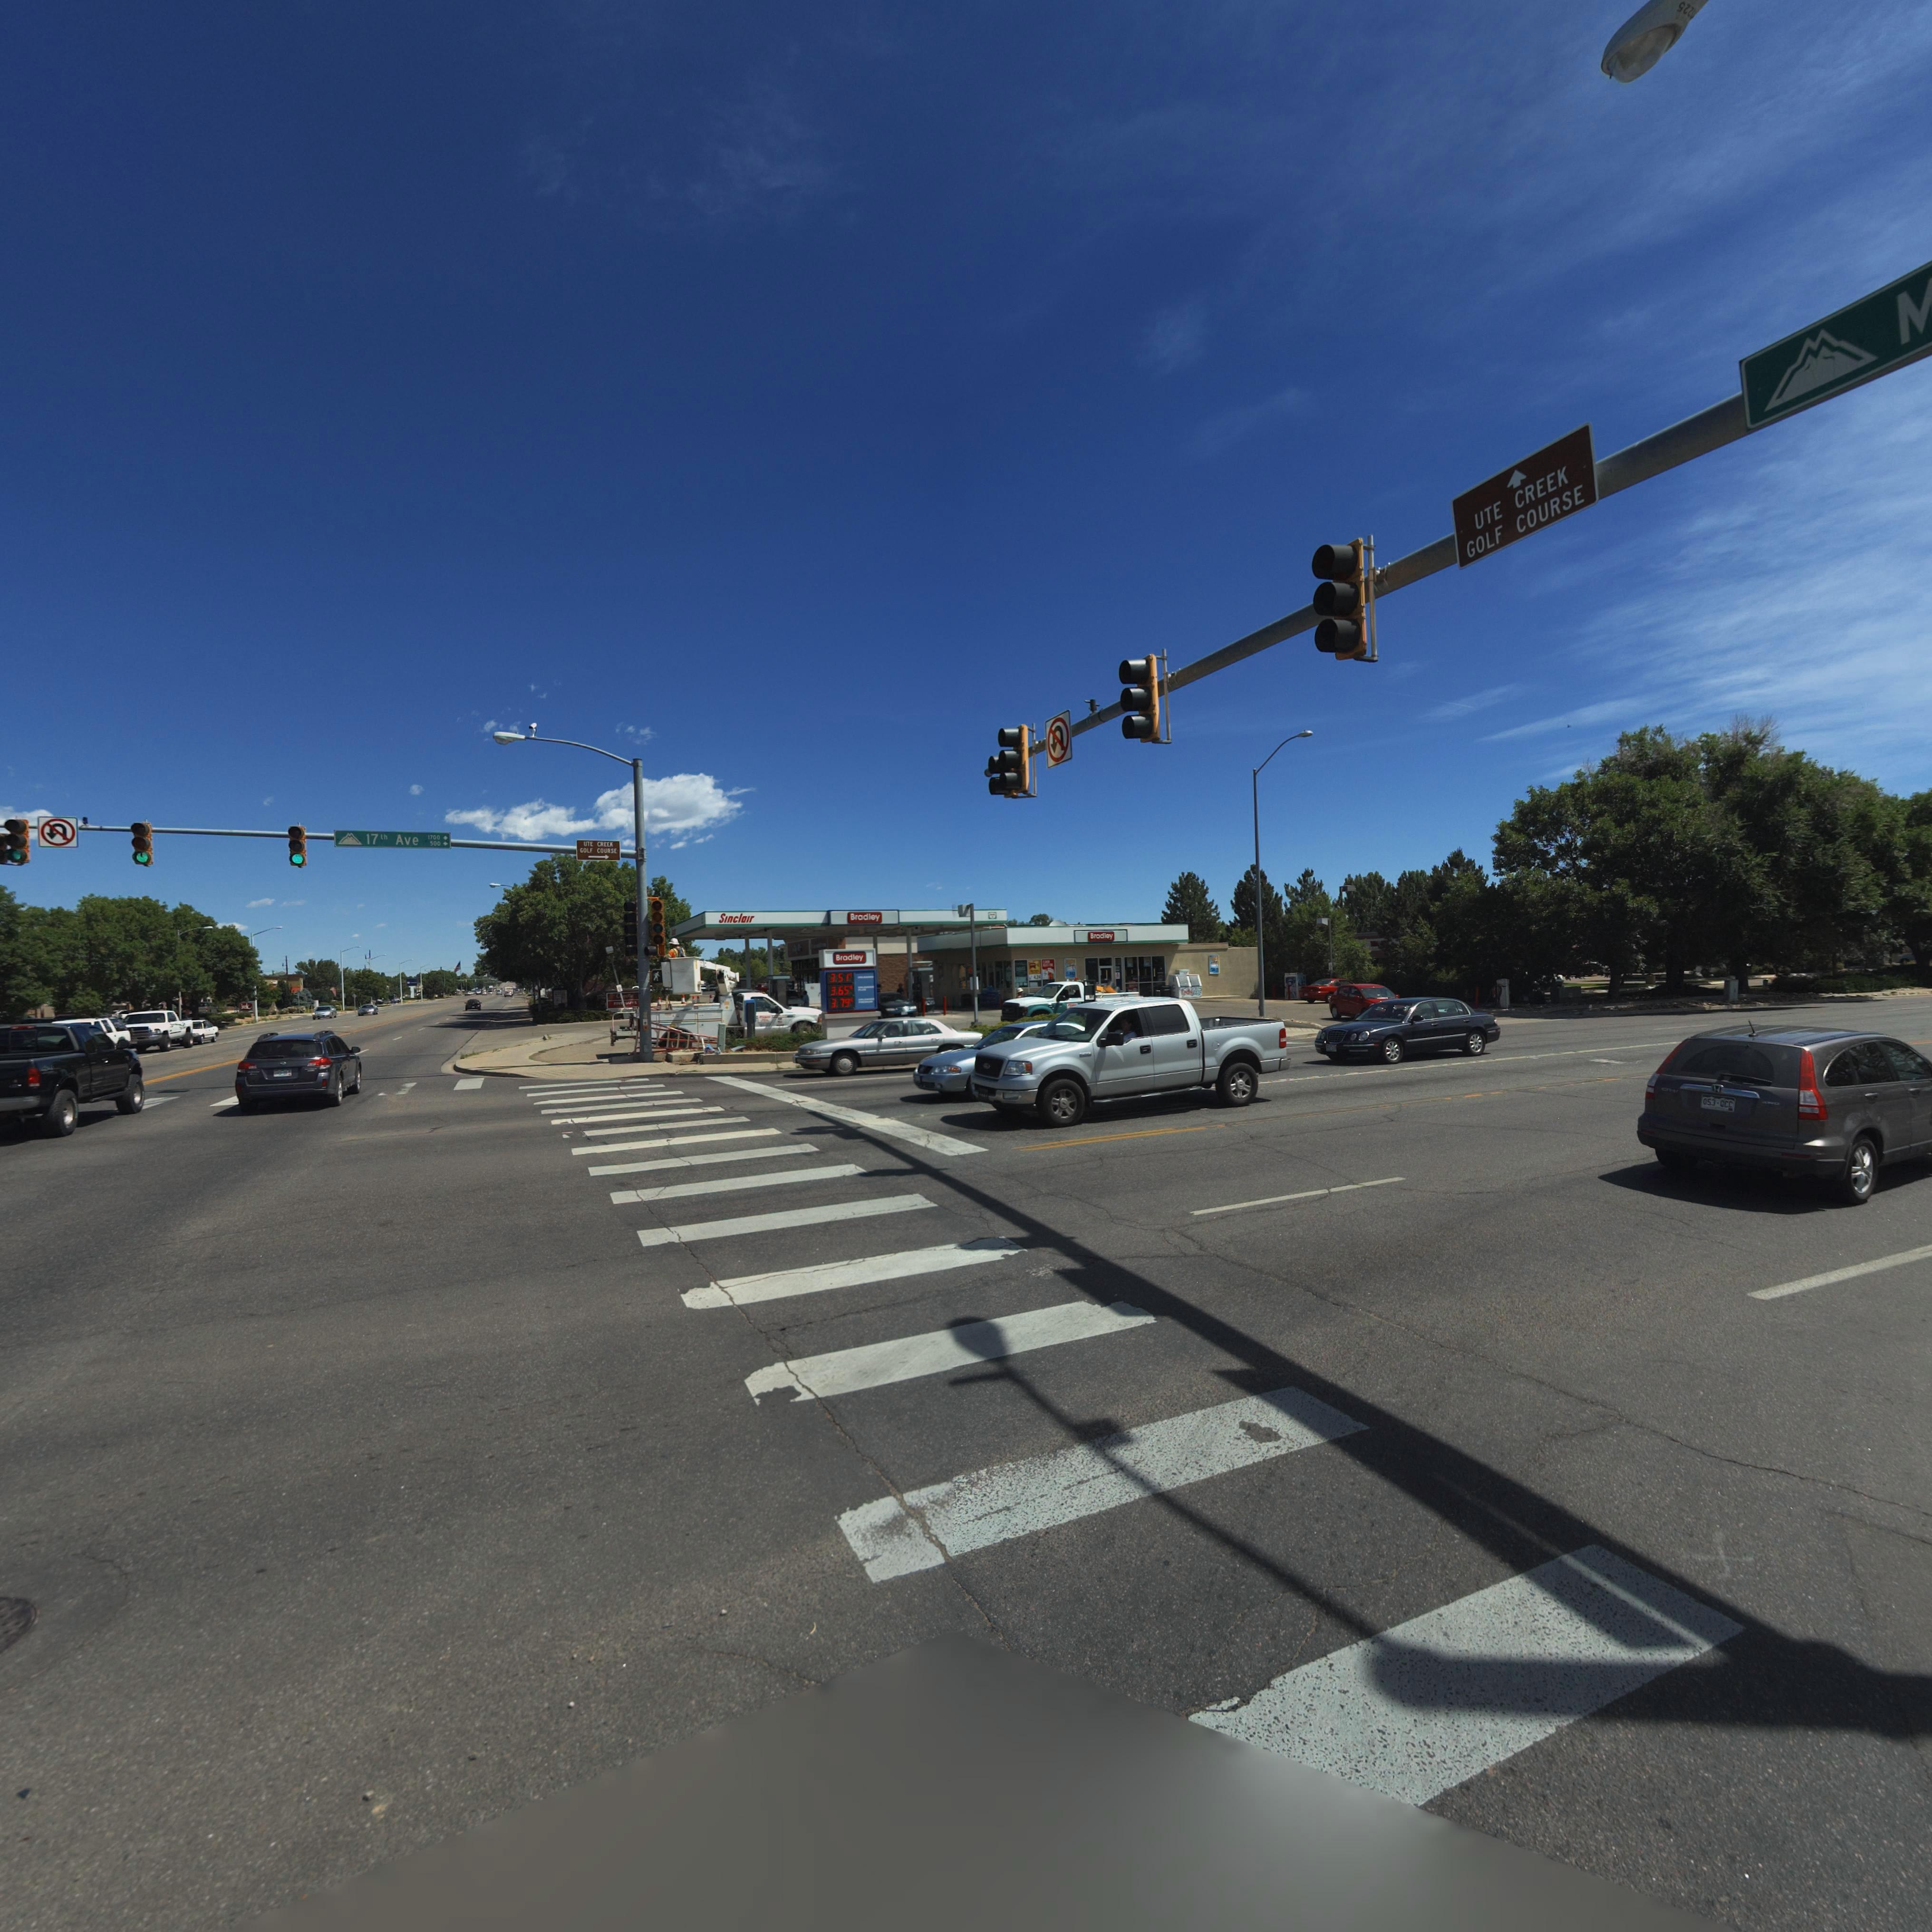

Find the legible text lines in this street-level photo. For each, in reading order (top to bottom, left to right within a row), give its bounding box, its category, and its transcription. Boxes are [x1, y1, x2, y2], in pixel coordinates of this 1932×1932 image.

[365, 832, 419, 846] StreetName: 17th Ave
[427, 834, 441, 840] StreetNumberRange: 1700
[429, 840, 449, 846] StreetNumberRange: 500->
[718, 912, 755, 923] BusinessName: Sinclair
[850, 913, 880, 922] BusinessName: Bradley
[1090, 933, 1113, 940] BusinessName: Bradley
[836, 954, 863, 962] BusinessName: Bradley